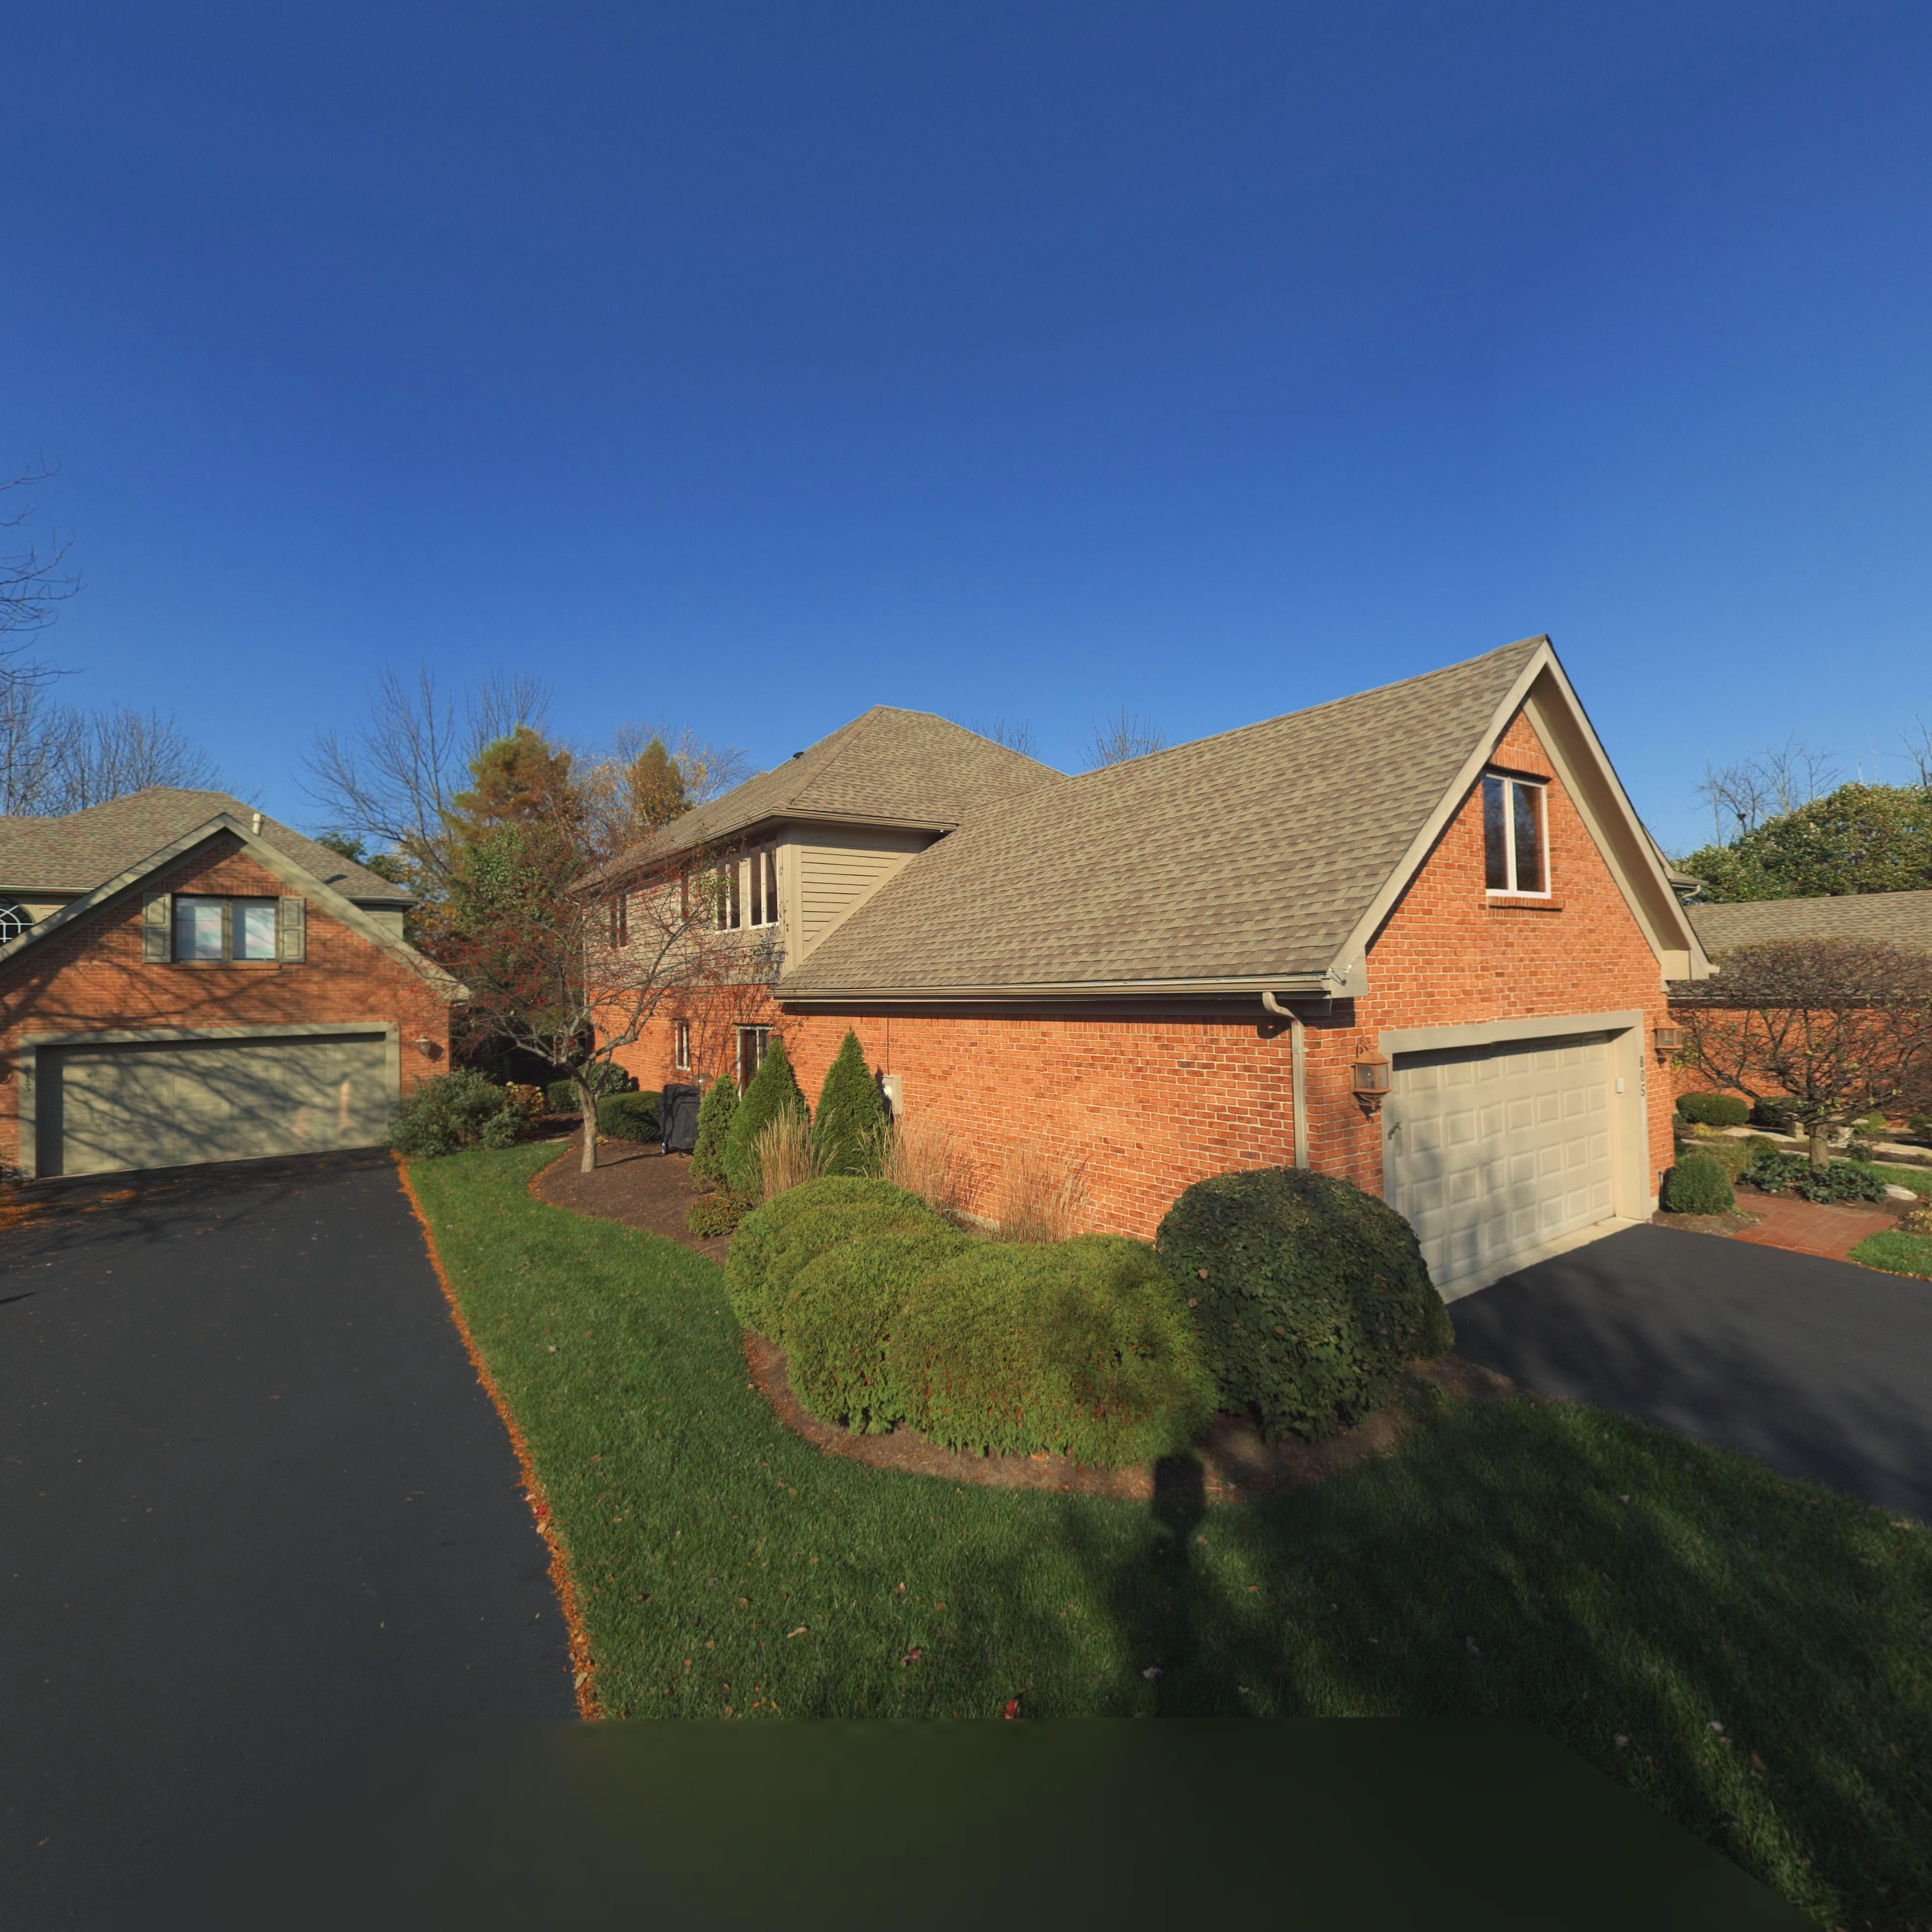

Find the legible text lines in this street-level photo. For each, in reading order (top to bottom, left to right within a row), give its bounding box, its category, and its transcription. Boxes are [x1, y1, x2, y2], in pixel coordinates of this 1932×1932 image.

[22, 1063, 32, 1093] StreetNumber: 813
[1637, 1053, 1647, 1099] StreetNumber: 805